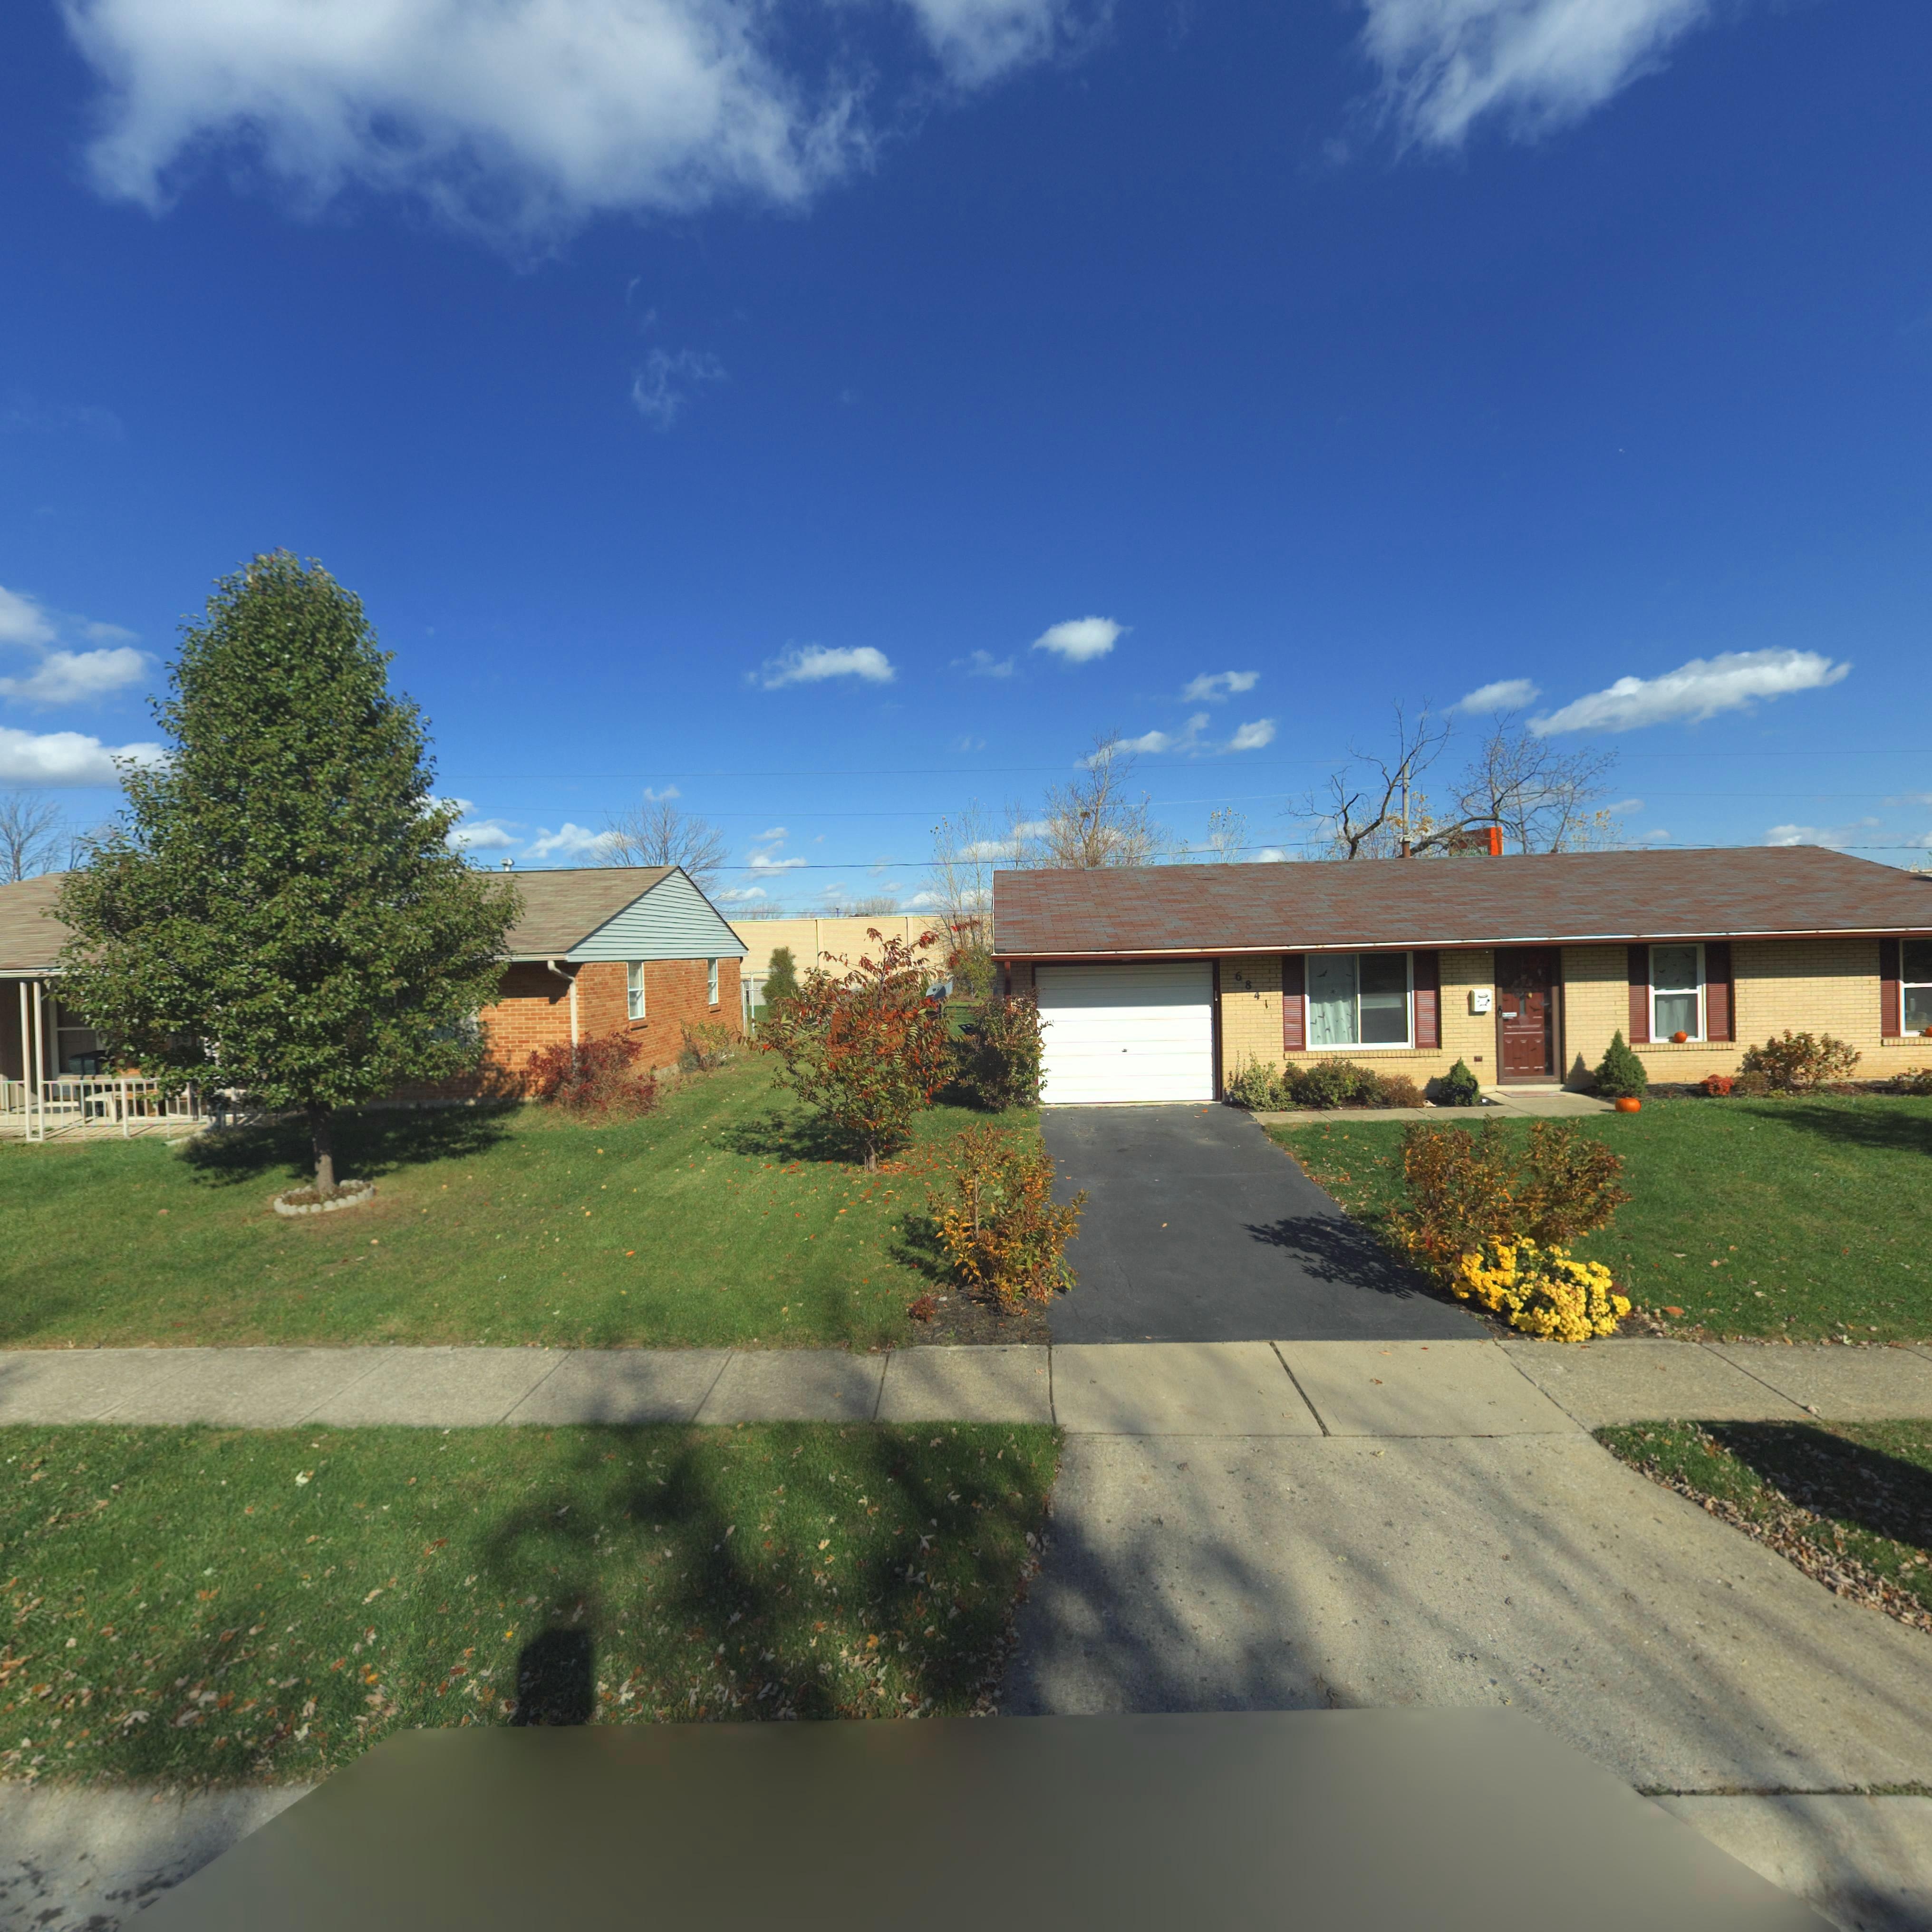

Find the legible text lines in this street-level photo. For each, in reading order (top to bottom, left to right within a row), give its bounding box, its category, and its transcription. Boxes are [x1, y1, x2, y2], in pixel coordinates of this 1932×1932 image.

[1234, 970, 1270, 1011] StreetNumber: 6841